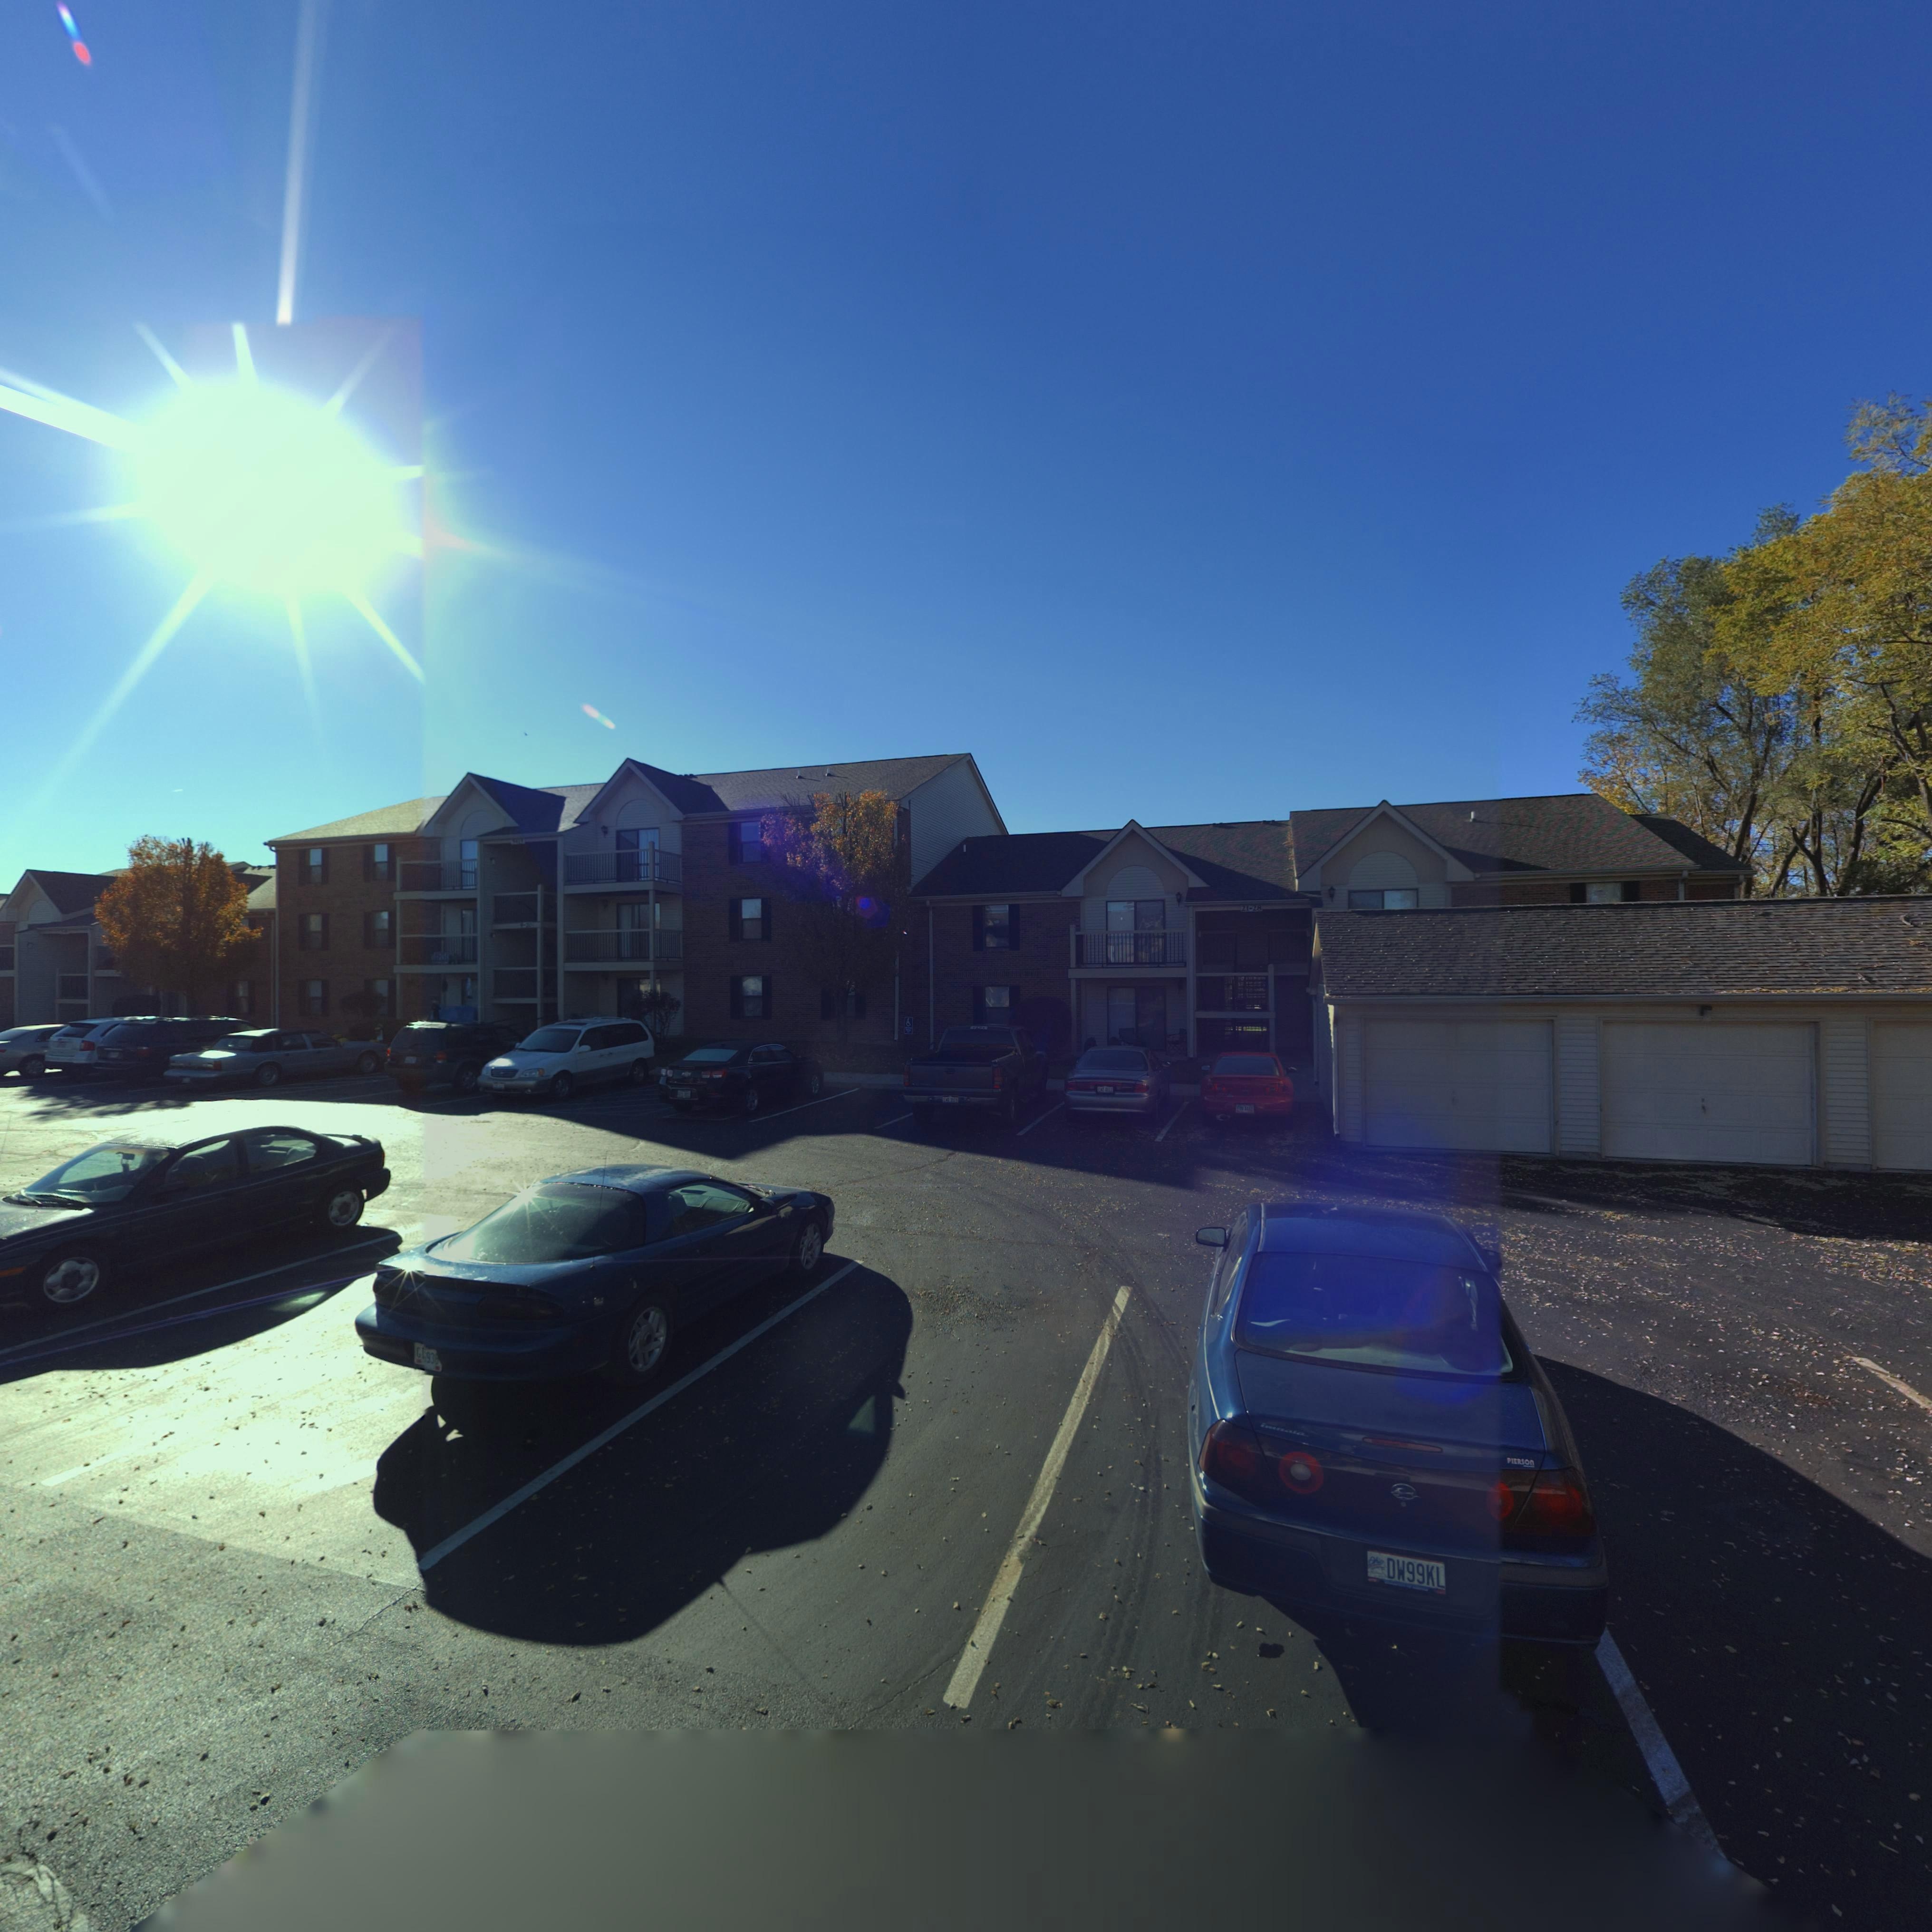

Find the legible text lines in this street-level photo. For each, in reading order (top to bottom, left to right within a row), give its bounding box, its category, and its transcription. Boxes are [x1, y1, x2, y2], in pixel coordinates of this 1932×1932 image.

[512, 838, 524, 844] StreetNumber: 5415
[1241, 905, 1262, 911] StreetNumber: 21-28
[520, 921, 532, 927] StreetNumber: 9-20